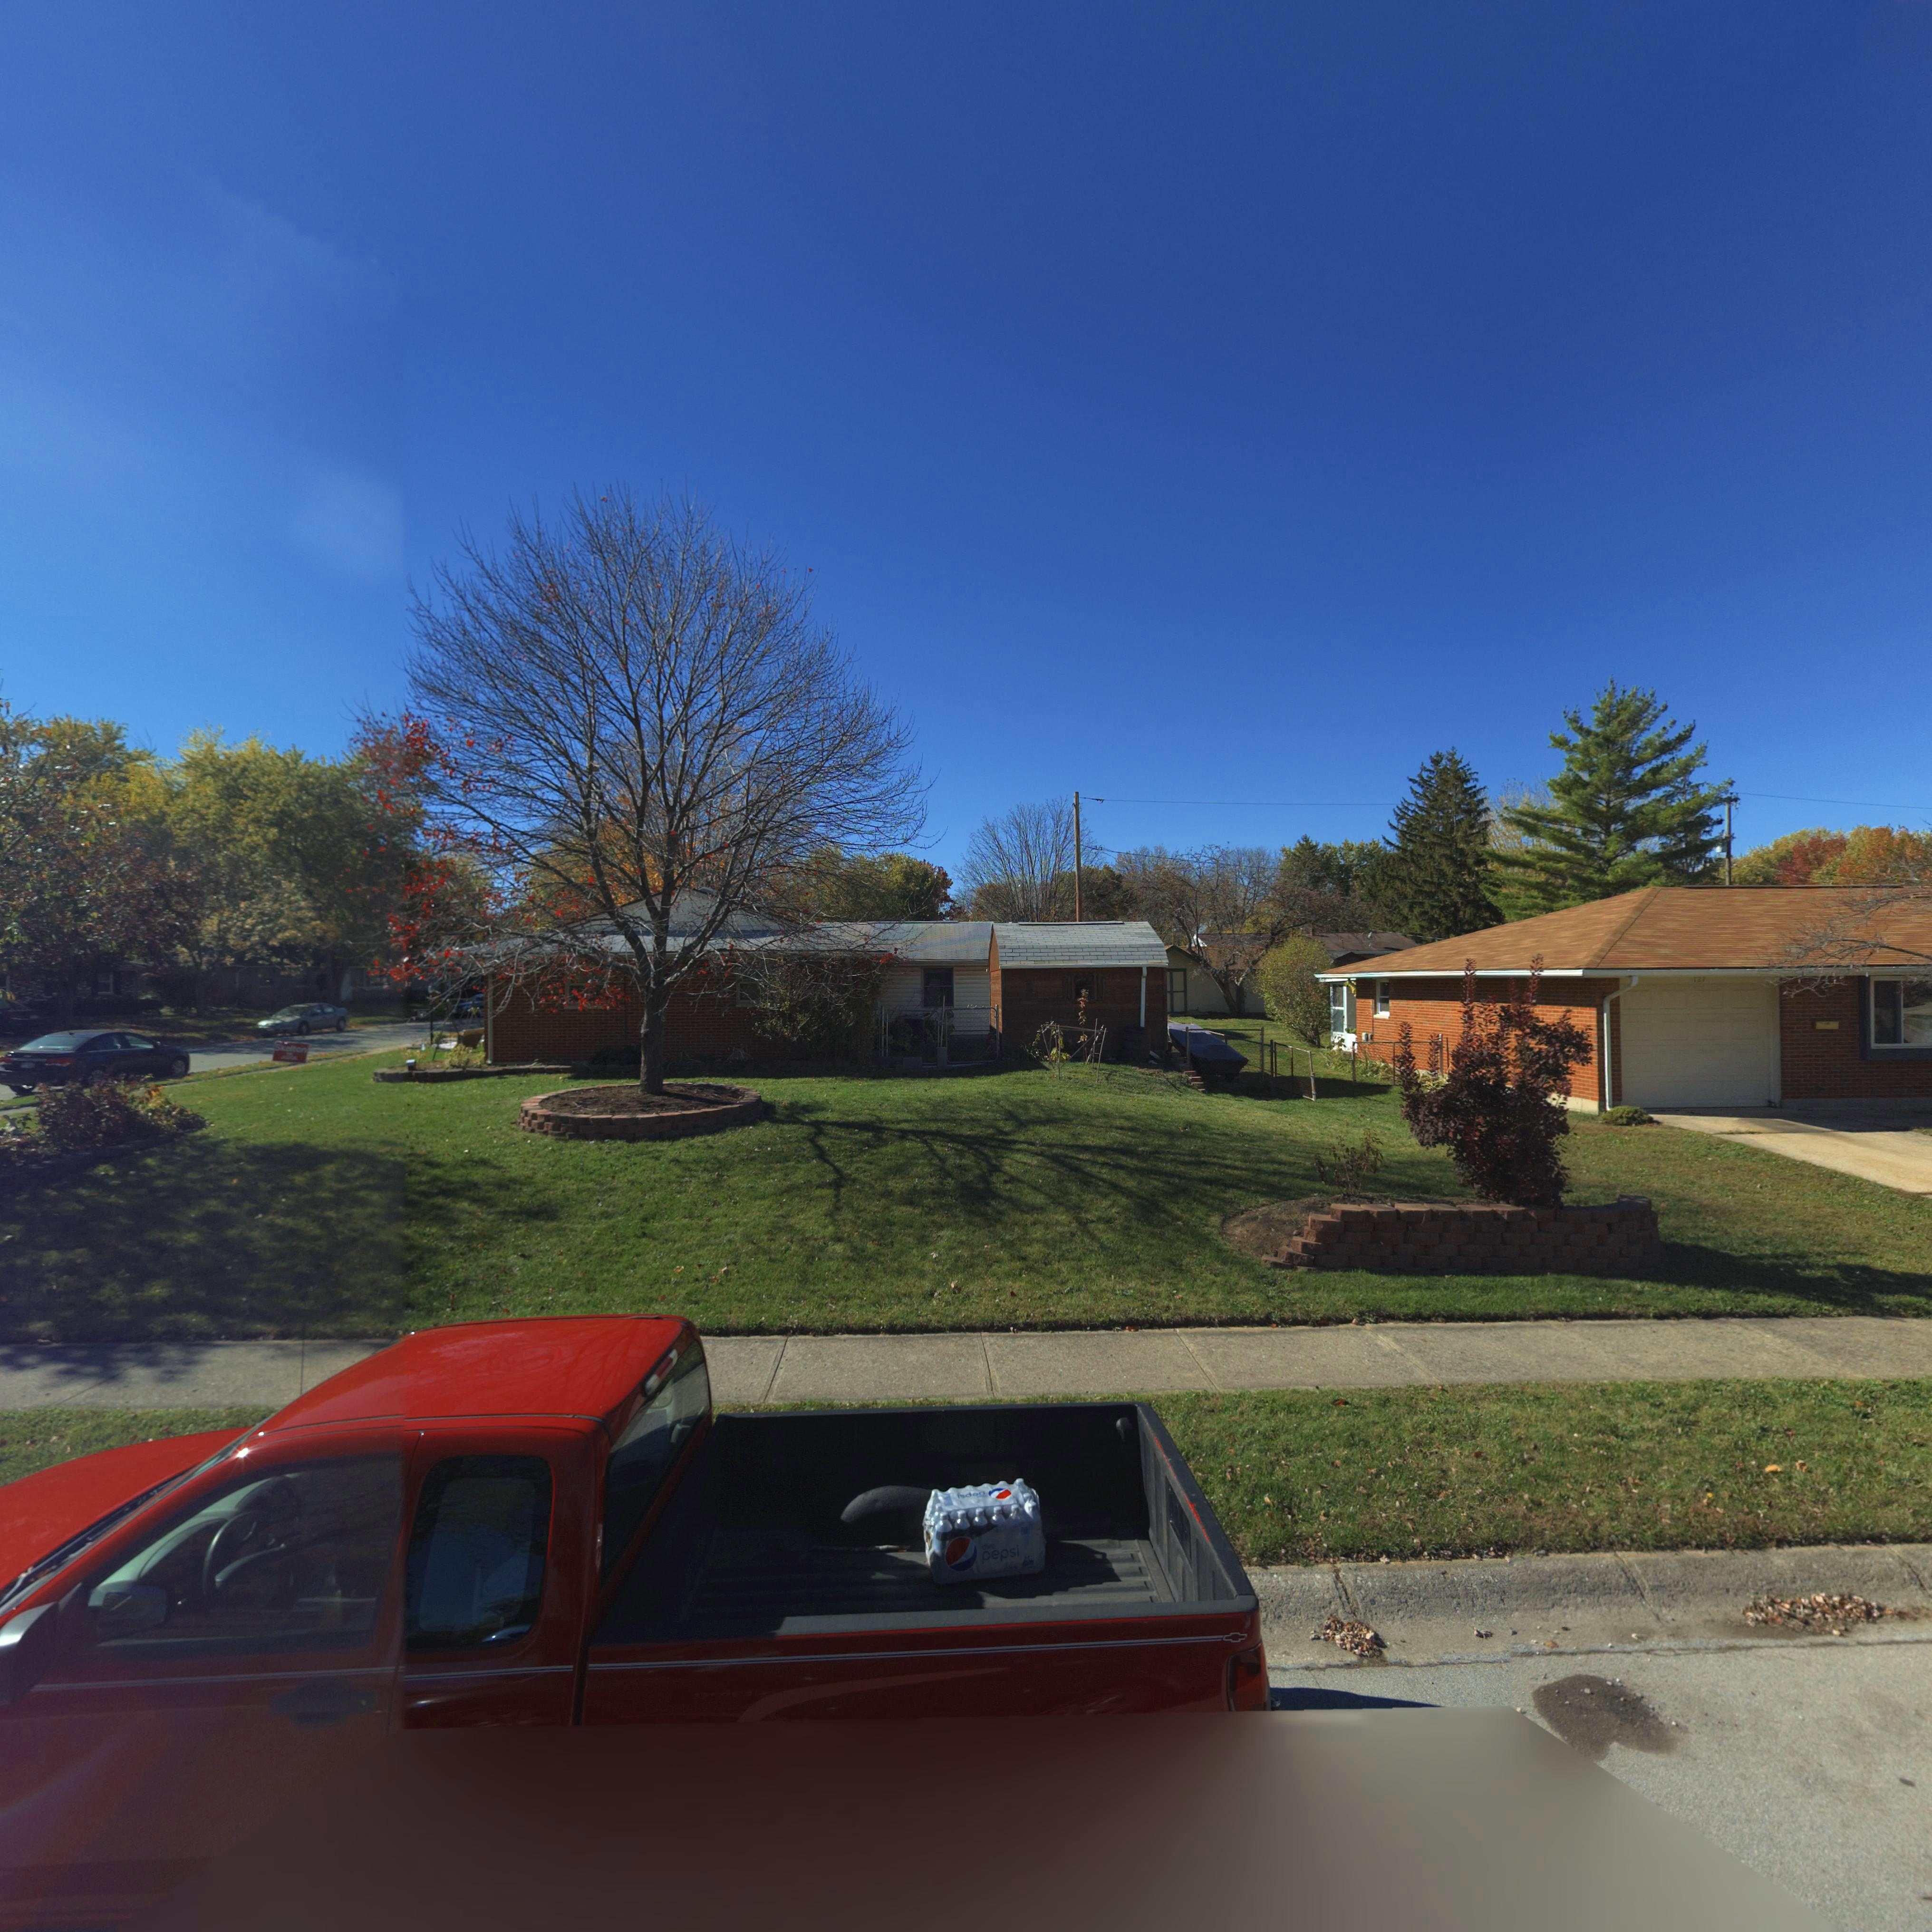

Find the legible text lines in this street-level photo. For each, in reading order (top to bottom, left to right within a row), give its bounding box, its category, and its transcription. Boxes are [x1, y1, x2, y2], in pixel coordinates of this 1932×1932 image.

[1693, 976, 1707, 984] StreetNumber: 127